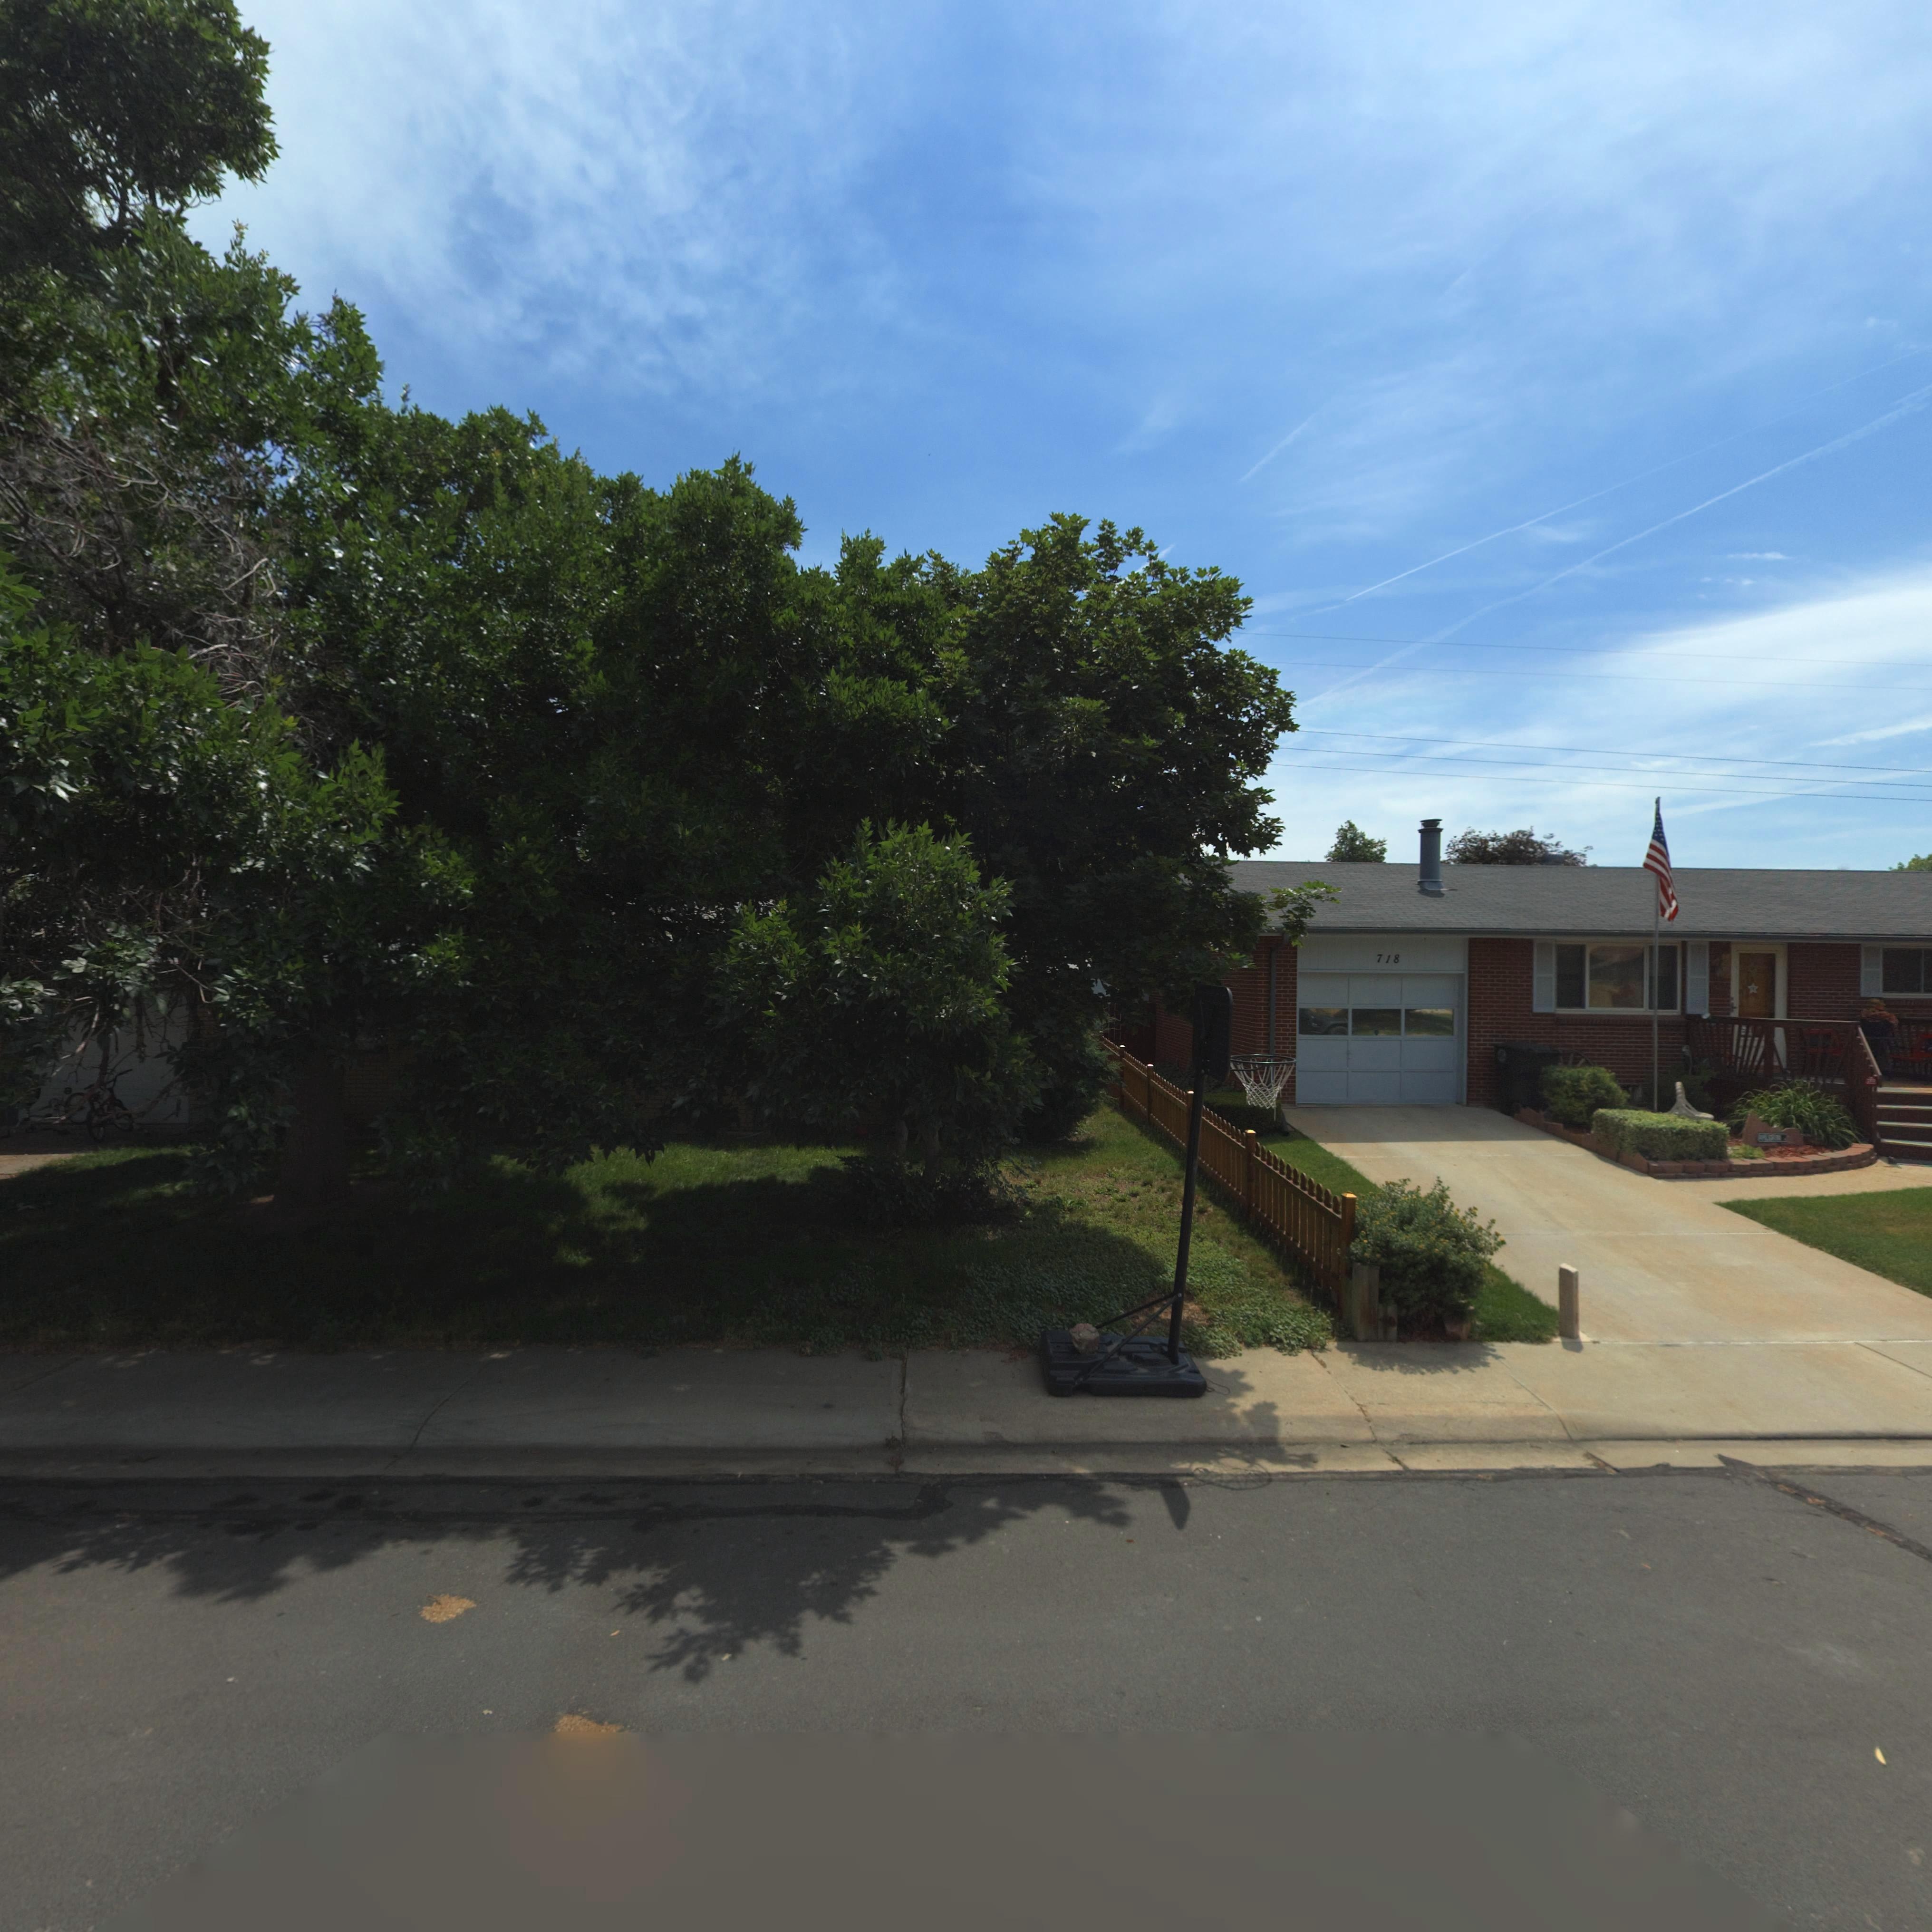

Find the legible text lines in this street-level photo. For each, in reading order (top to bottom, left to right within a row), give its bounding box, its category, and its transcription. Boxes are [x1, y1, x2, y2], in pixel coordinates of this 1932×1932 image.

[1375, 953, 1401, 964] StreetNumber: 718